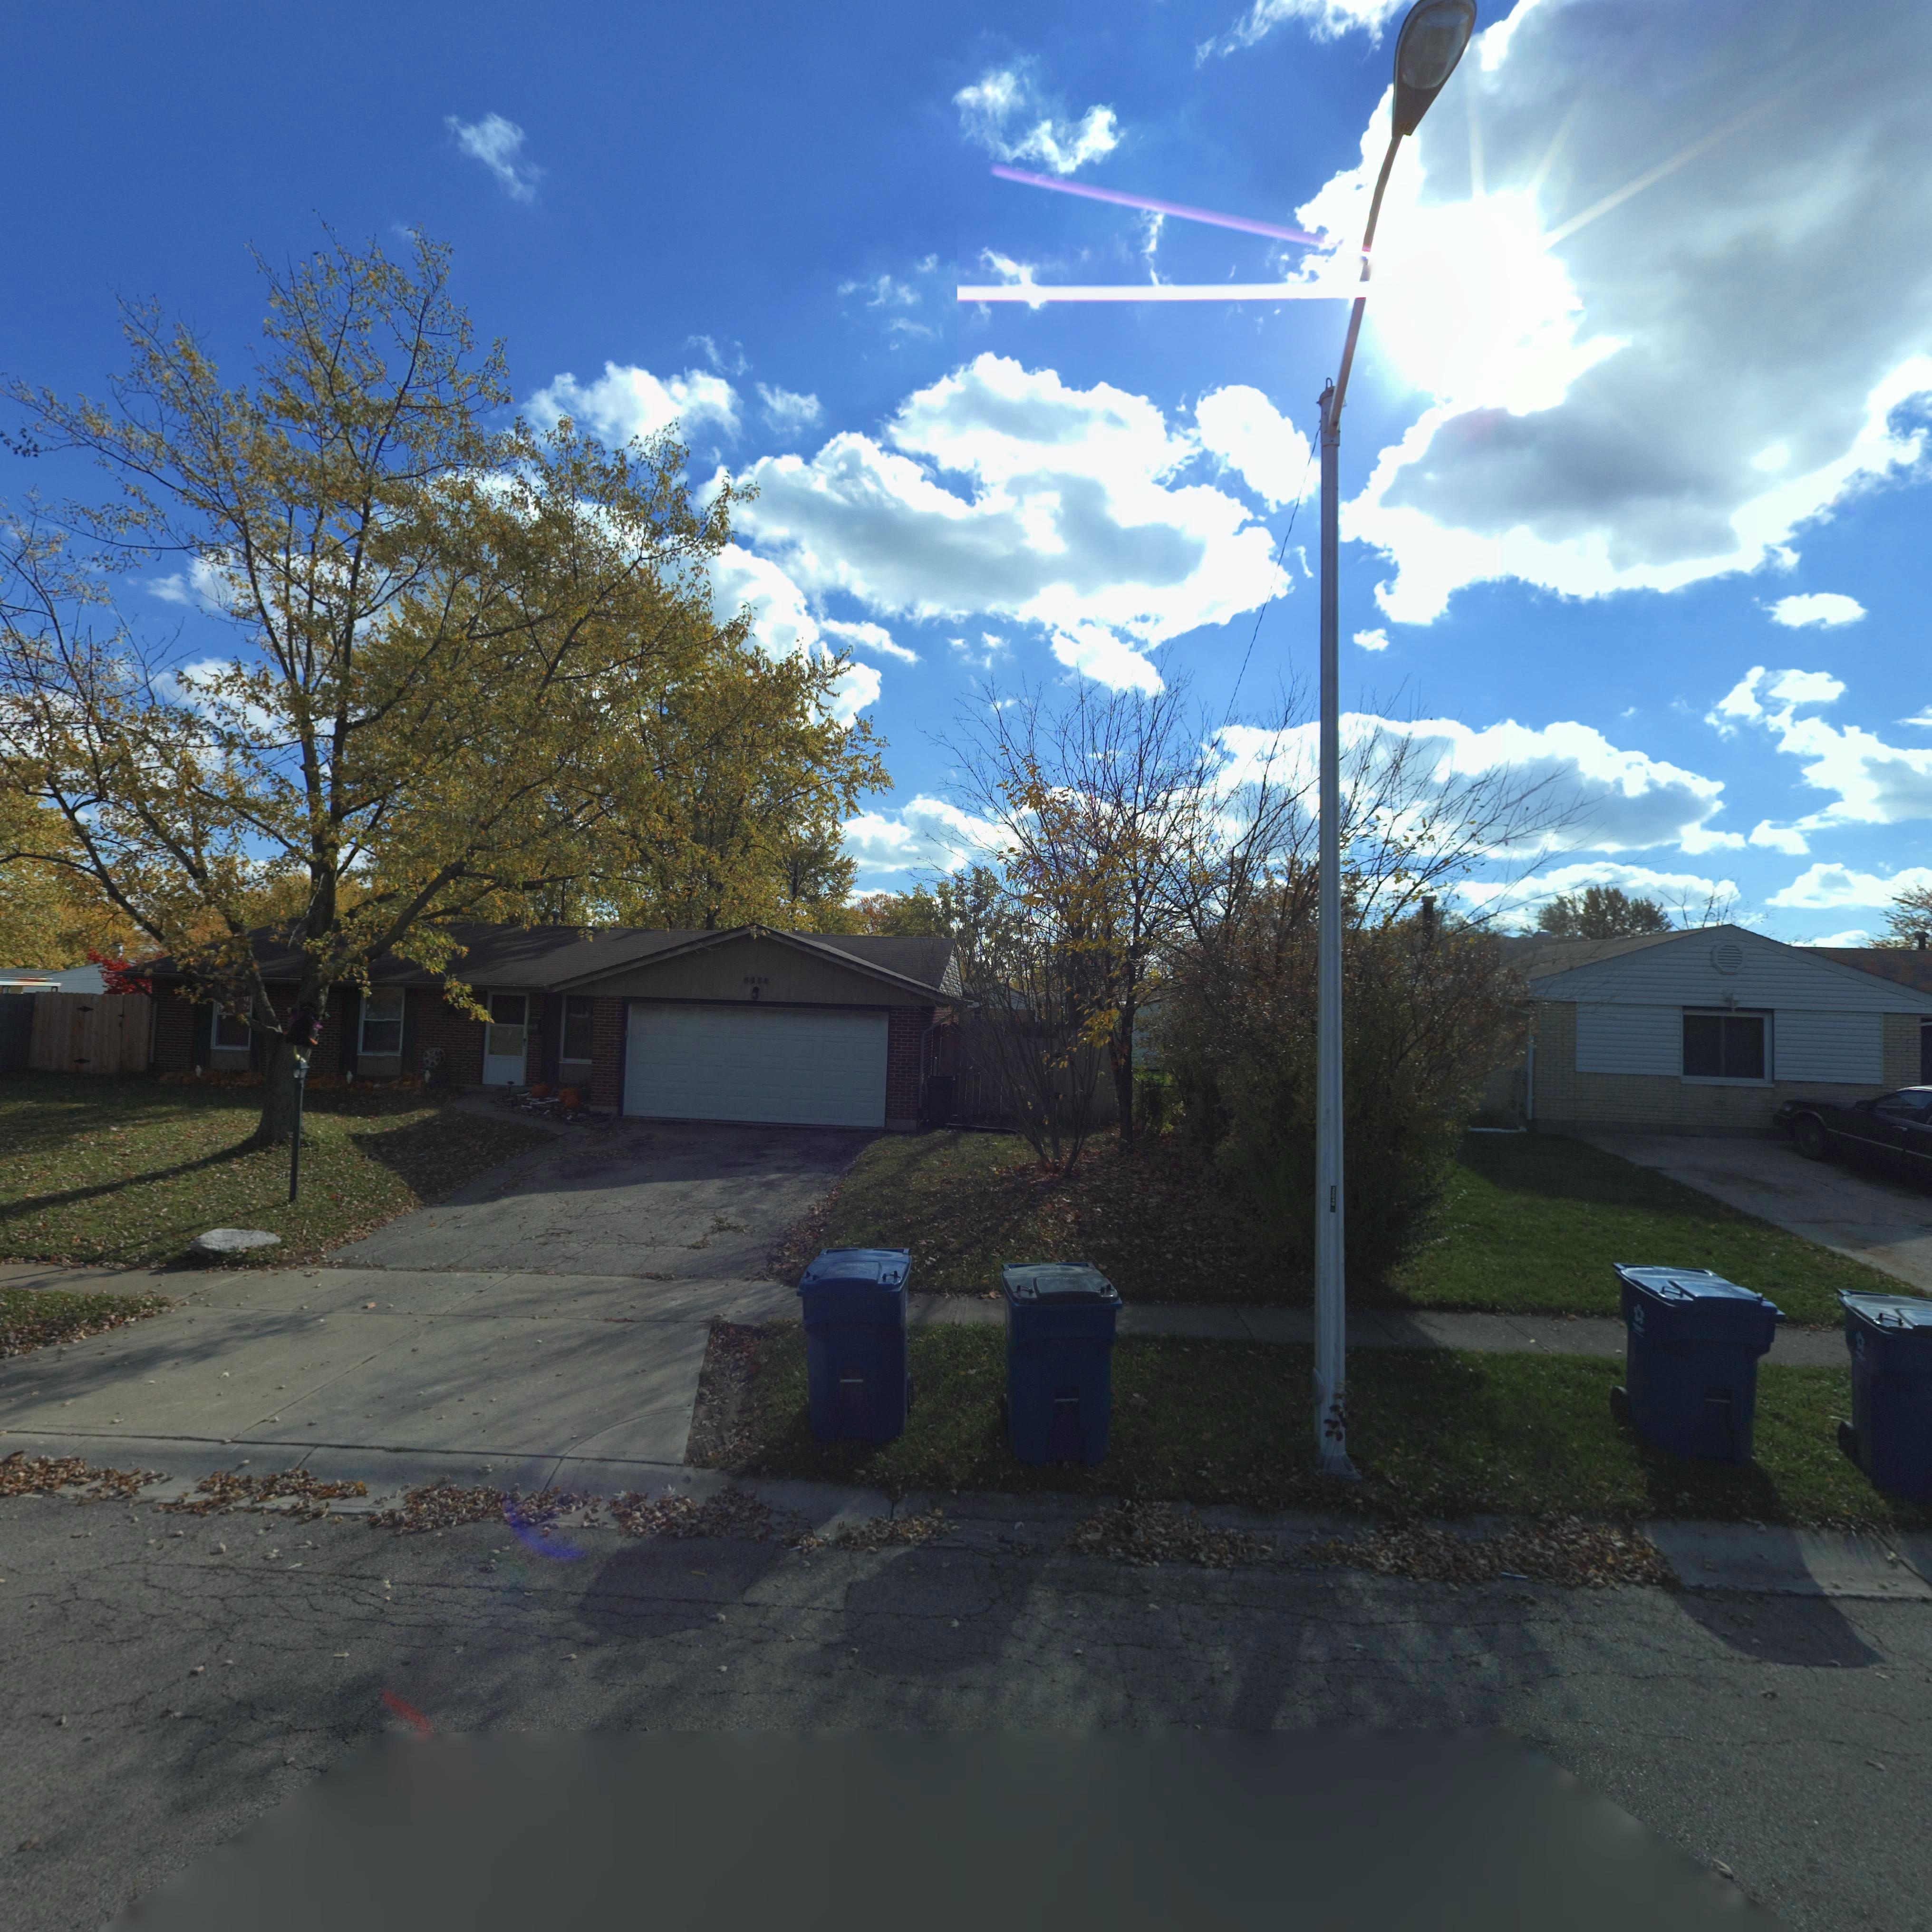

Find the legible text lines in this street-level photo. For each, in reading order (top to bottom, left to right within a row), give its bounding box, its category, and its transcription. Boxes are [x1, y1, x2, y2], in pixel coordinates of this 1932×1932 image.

[742, 976, 770, 985] StreetNumber: 6650
[527, 1024, 539, 1030] StreetNumber: 6650